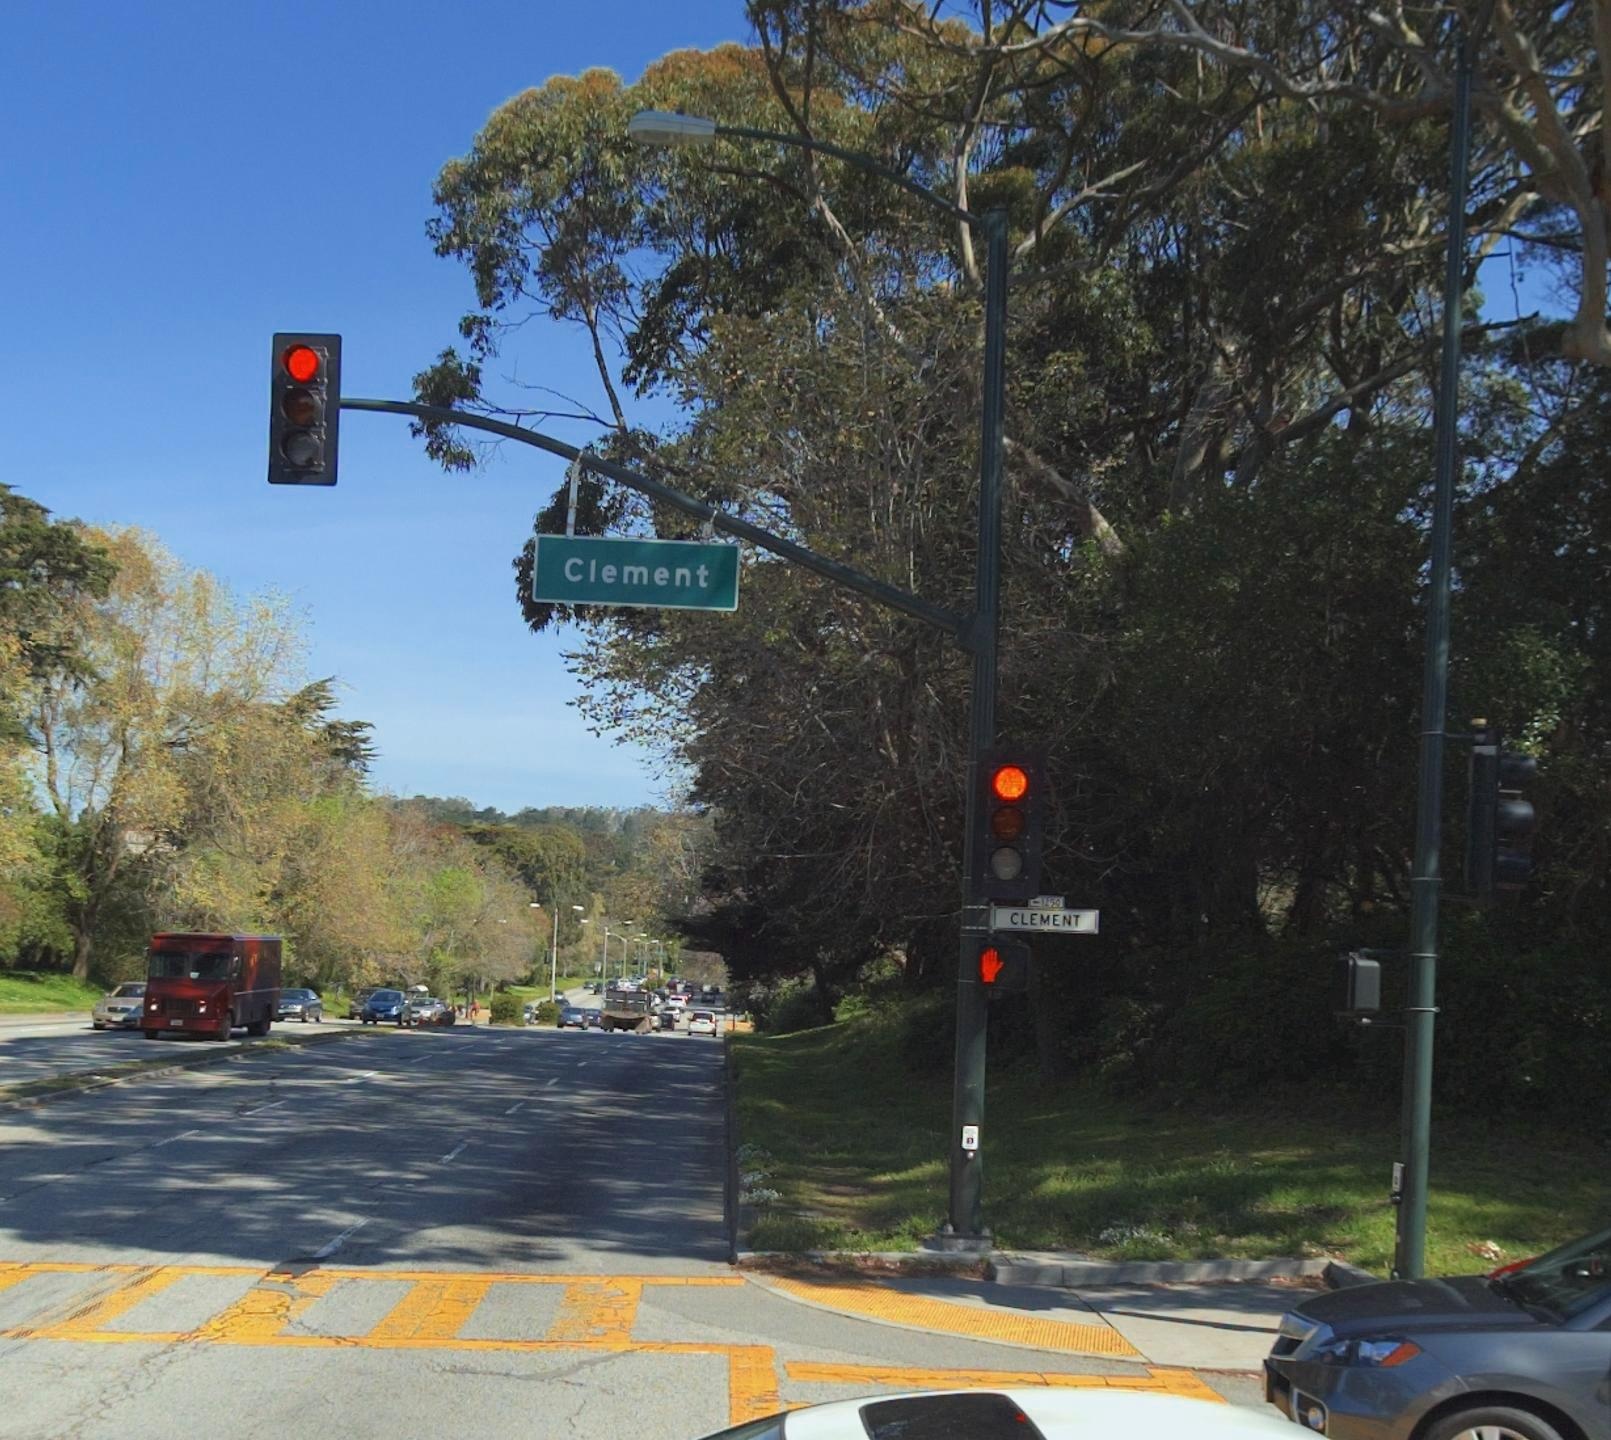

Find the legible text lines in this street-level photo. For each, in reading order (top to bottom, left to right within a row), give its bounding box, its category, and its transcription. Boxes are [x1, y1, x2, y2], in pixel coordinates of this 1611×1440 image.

[562, 554, 711, 590] StreetName: Clement
[1030, 896, 1063, 909] StreetNumberRange: <-1250
[1010, 912, 1080, 928] StreetName: CLEMENT